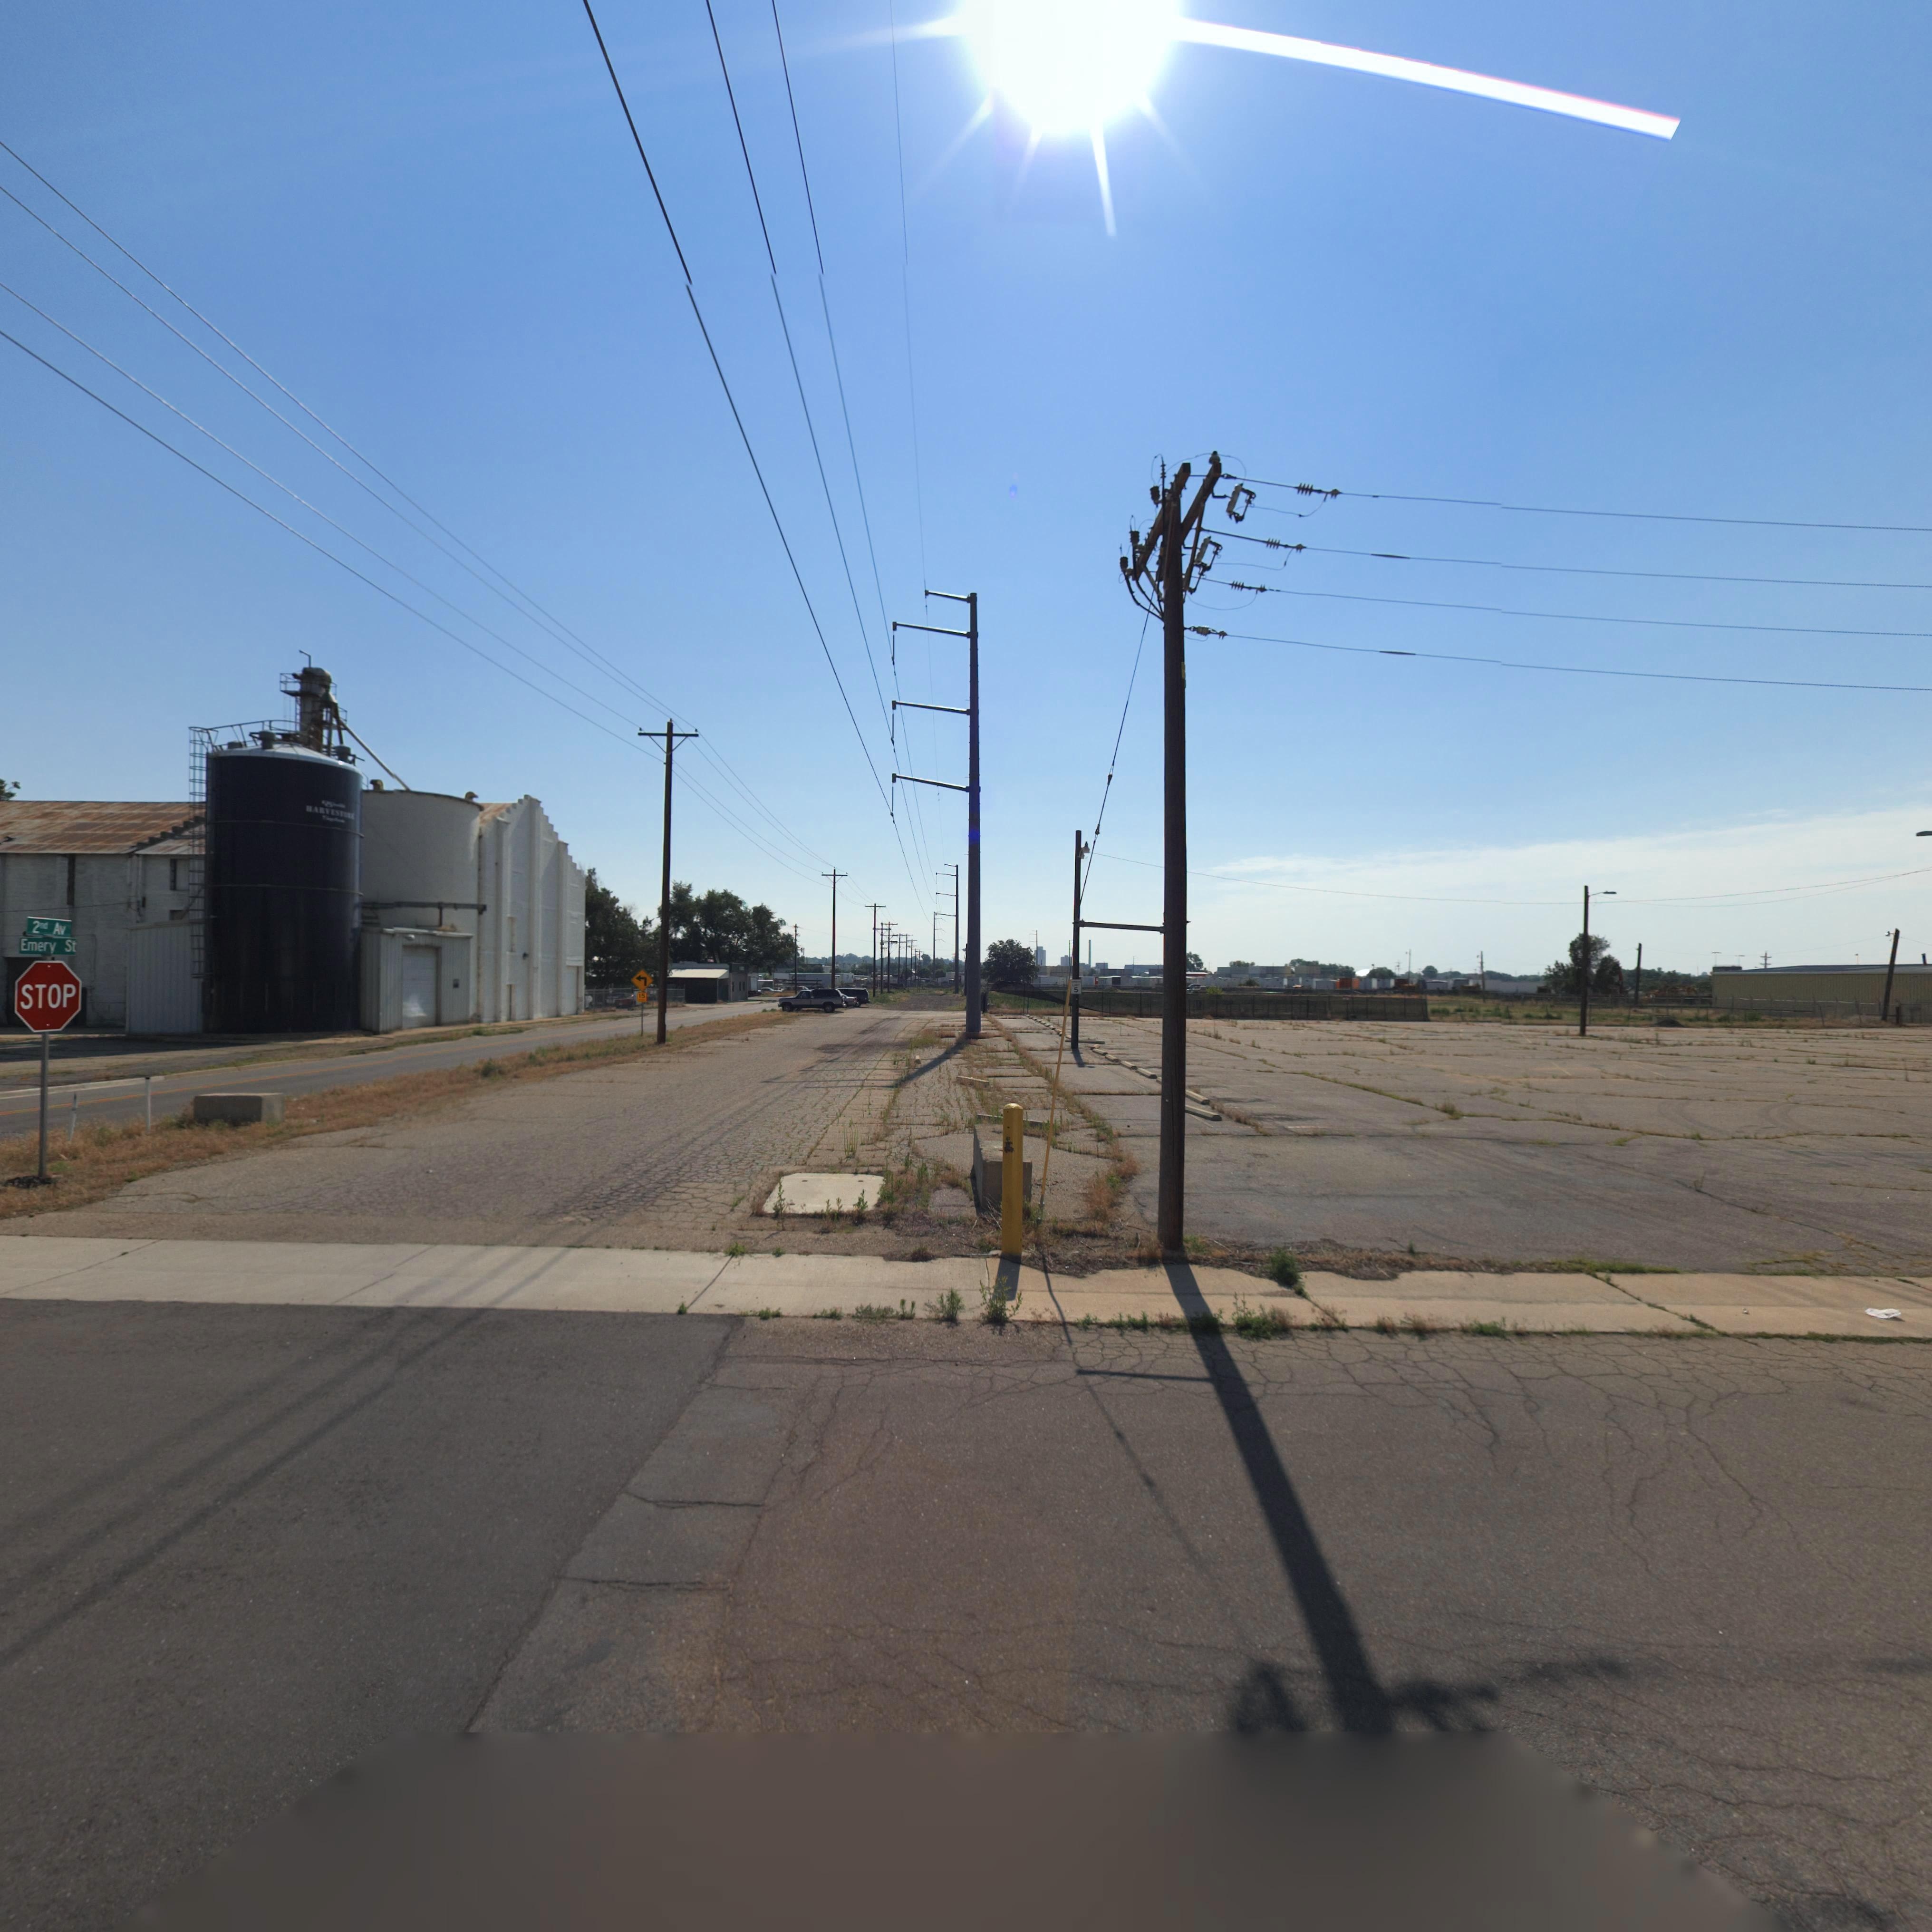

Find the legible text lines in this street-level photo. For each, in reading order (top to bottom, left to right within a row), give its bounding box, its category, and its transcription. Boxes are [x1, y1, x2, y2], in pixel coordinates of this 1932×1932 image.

[31, 919, 67, 936] StreetName: 2nd Av
[20, 937, 77, 954] StreetName: Emery St